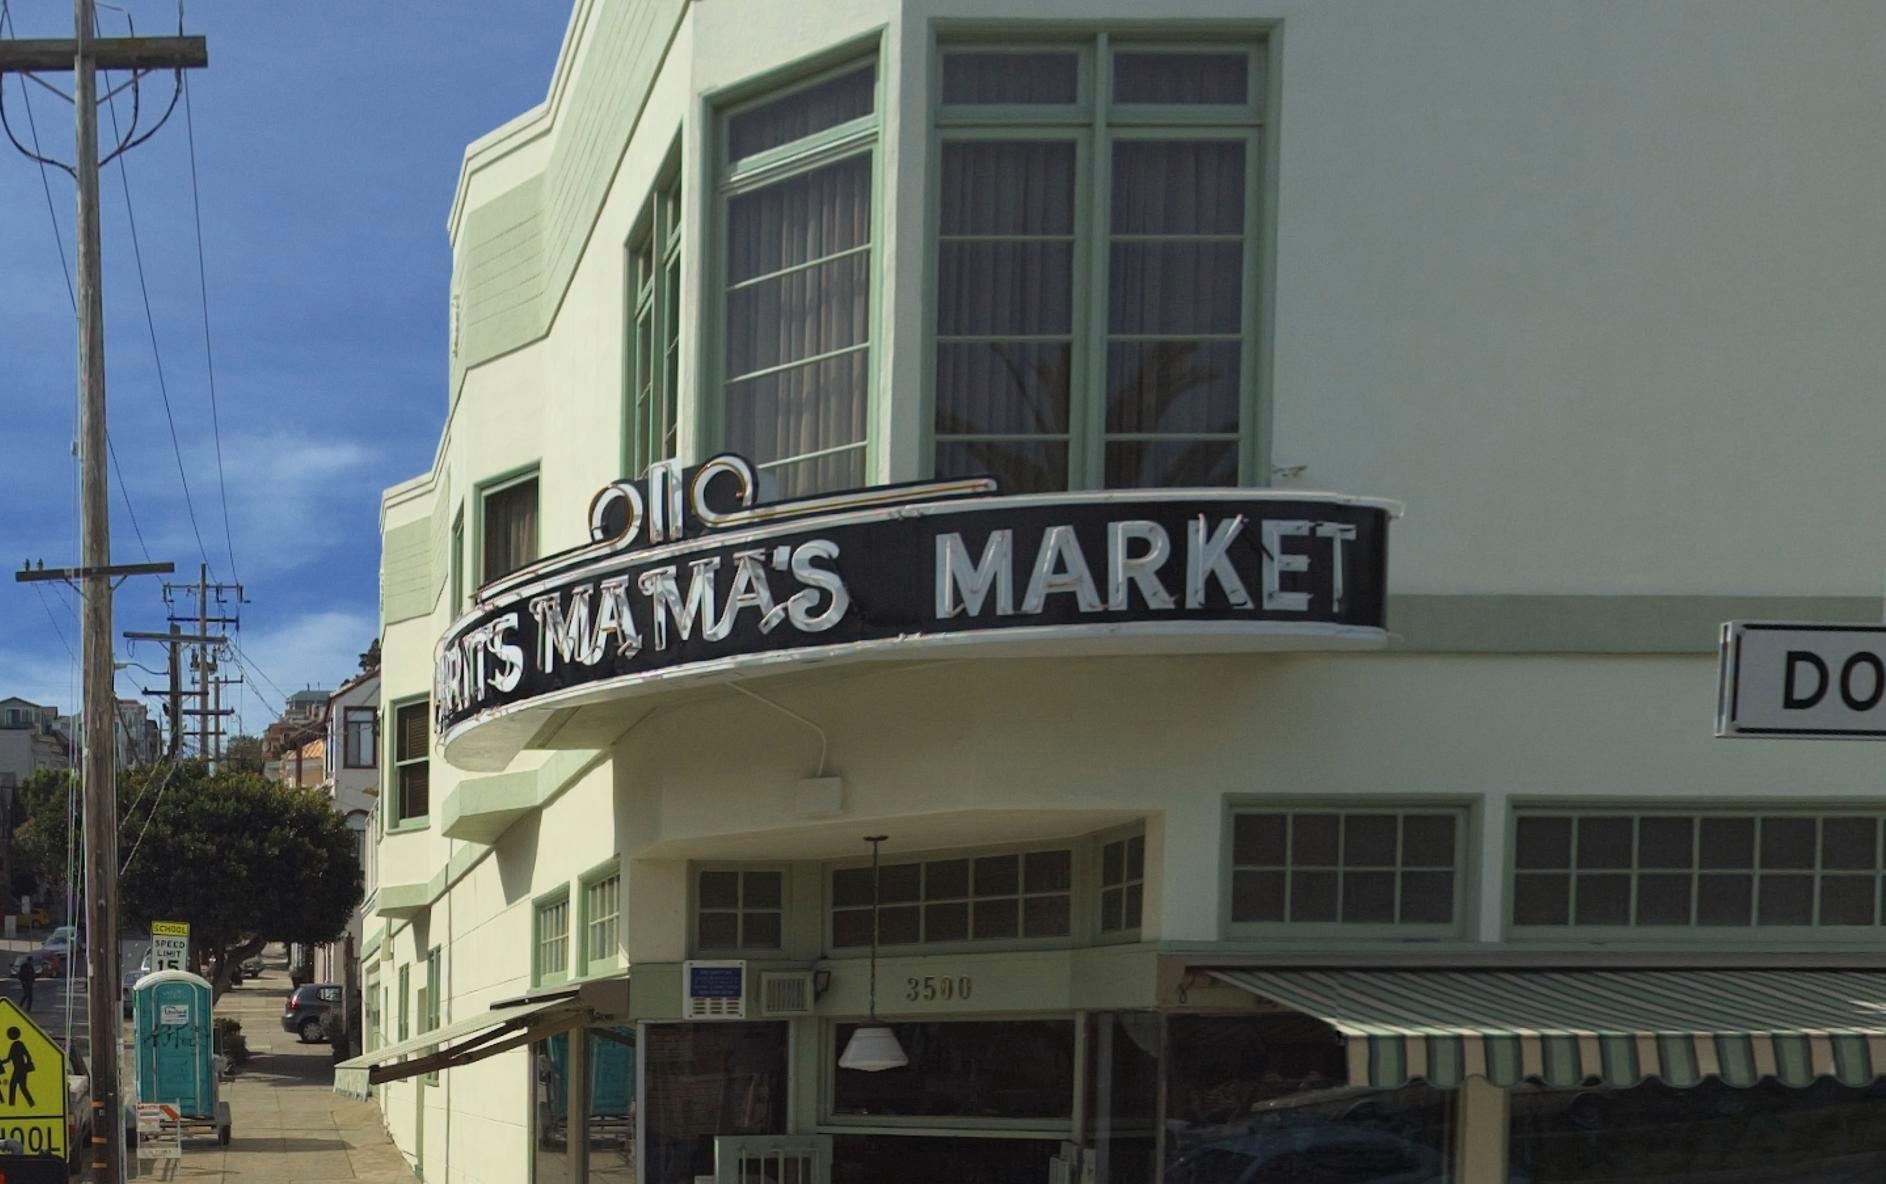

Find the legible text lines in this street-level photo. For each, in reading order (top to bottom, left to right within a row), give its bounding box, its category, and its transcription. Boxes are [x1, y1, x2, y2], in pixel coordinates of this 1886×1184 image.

[460, 513, 1365, 705] BusinessName: TS MAMA'S MARKET
[1782, 649, 1886, 711] None: DO
[154, 923, 188, 936] None: SCHOOL
[155, 939, 185, 949] None: SPEED
[157, 948, 183, 959] None: LIMIT
[906, 975, 974, 1004] StreetNumber: 3500
[27, 1125, 63, 1153] None: OL